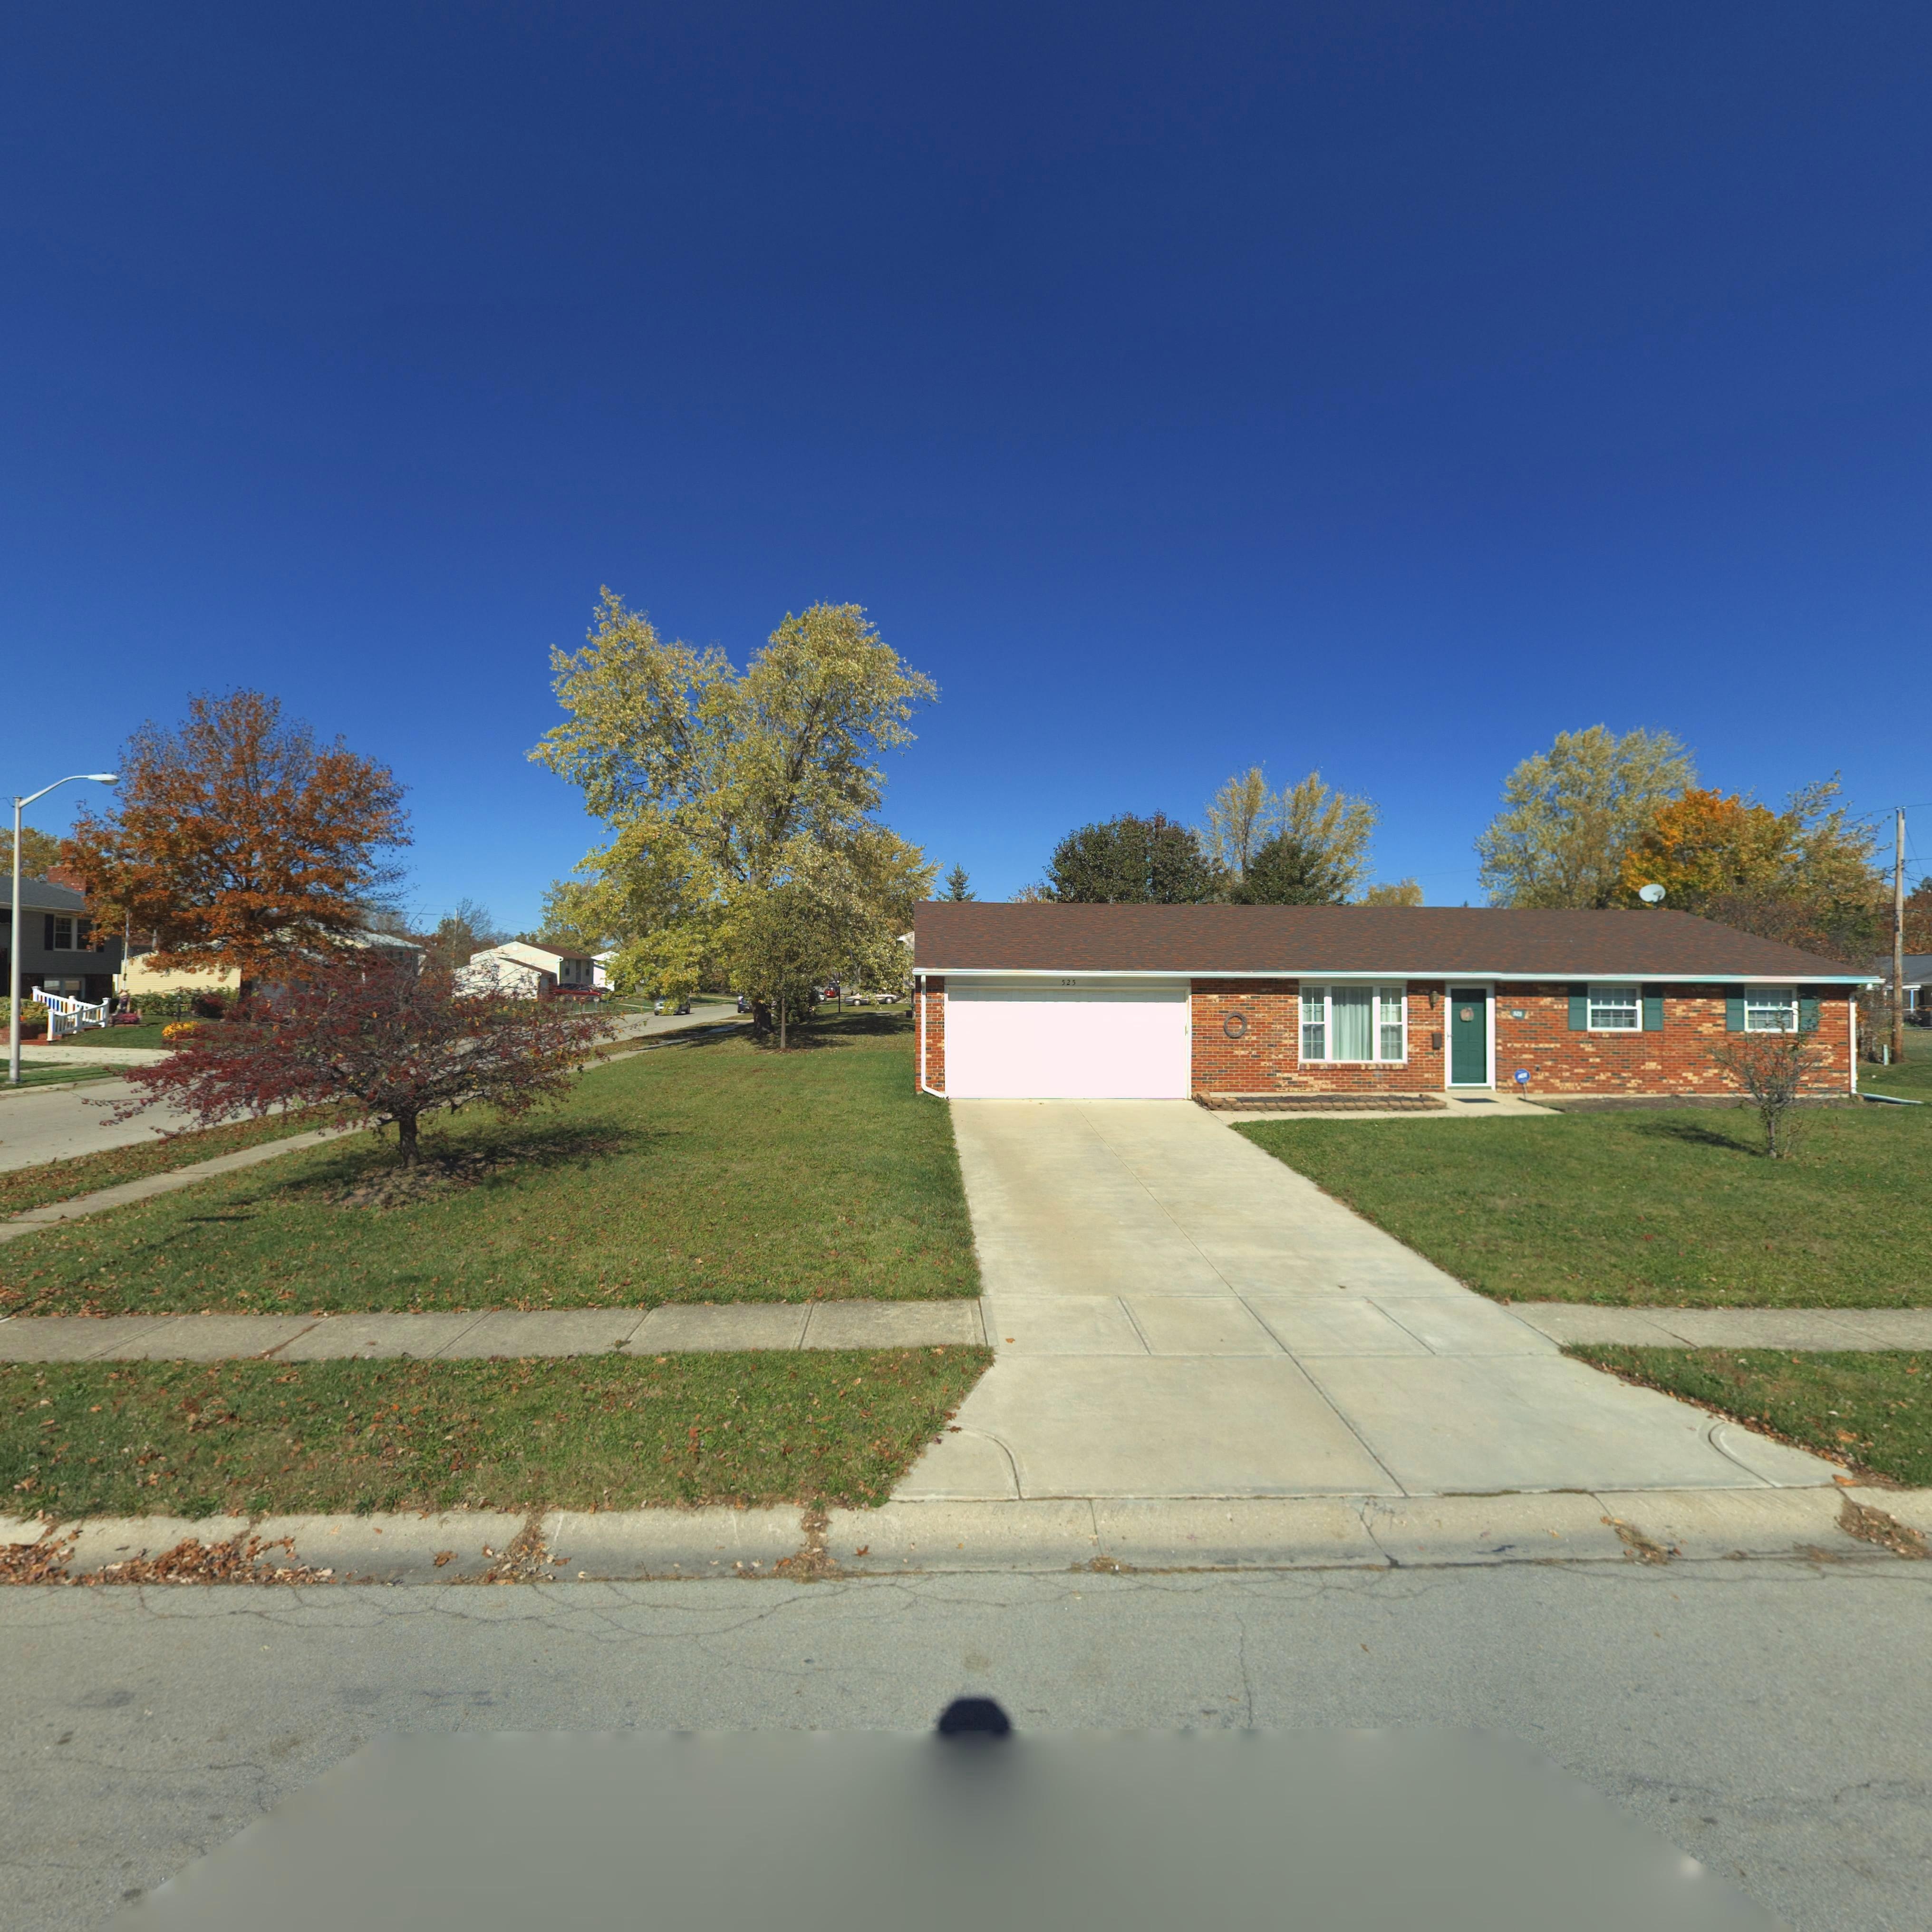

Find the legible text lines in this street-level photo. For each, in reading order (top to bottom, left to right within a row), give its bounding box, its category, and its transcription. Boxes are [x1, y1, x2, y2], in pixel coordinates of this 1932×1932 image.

[1061, 978, 1077, 986] StreetNumber: 525
[1512, 1010, 1523, 1018] StreetNumber: 525